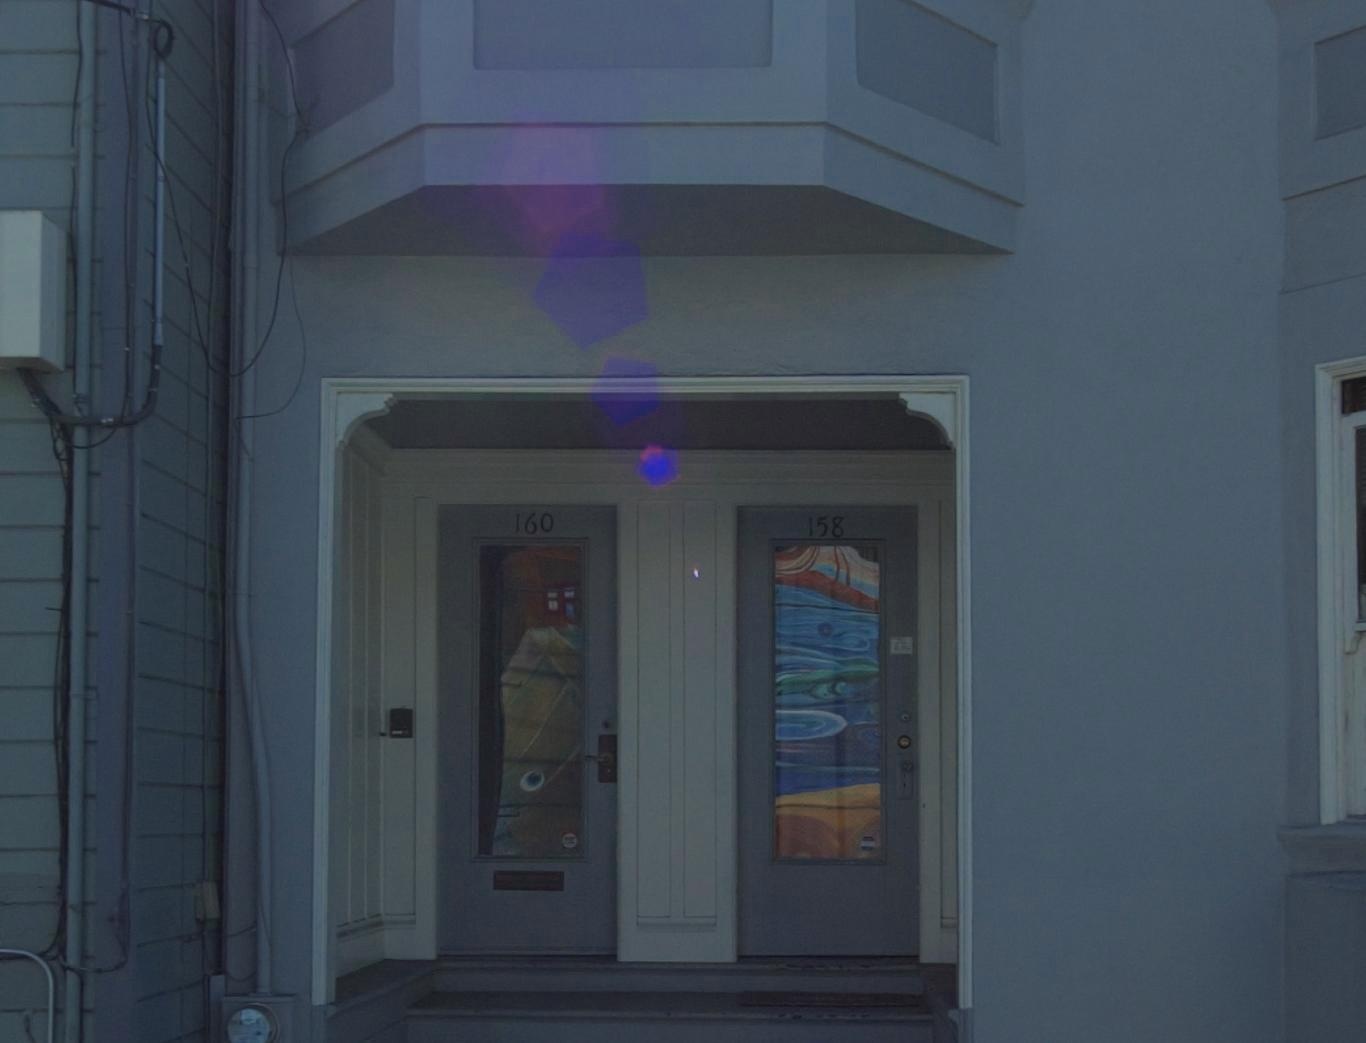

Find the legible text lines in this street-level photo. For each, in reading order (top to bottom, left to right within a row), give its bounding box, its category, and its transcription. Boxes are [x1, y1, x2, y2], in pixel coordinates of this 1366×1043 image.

[512, 508, 558, 537] StreetNumber: 160
[804, 513, 848, 543] StreetNumber: 158